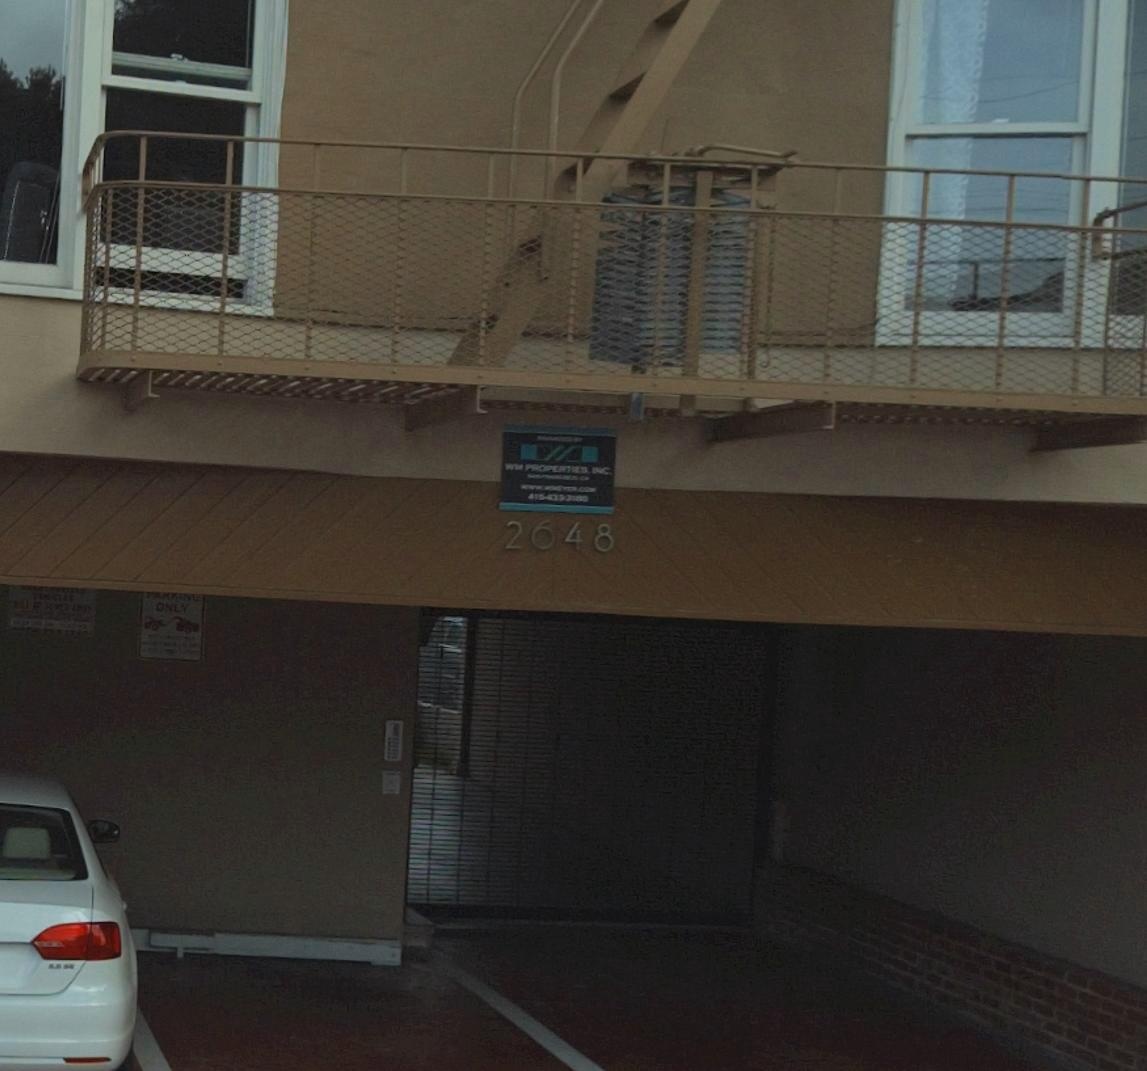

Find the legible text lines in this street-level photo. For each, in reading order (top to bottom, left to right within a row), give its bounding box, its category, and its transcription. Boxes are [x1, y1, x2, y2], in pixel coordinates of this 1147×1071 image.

[501, 518, 616, 555] StreetNumber: 2648
[153, 599, 192, 616] None: ONLY